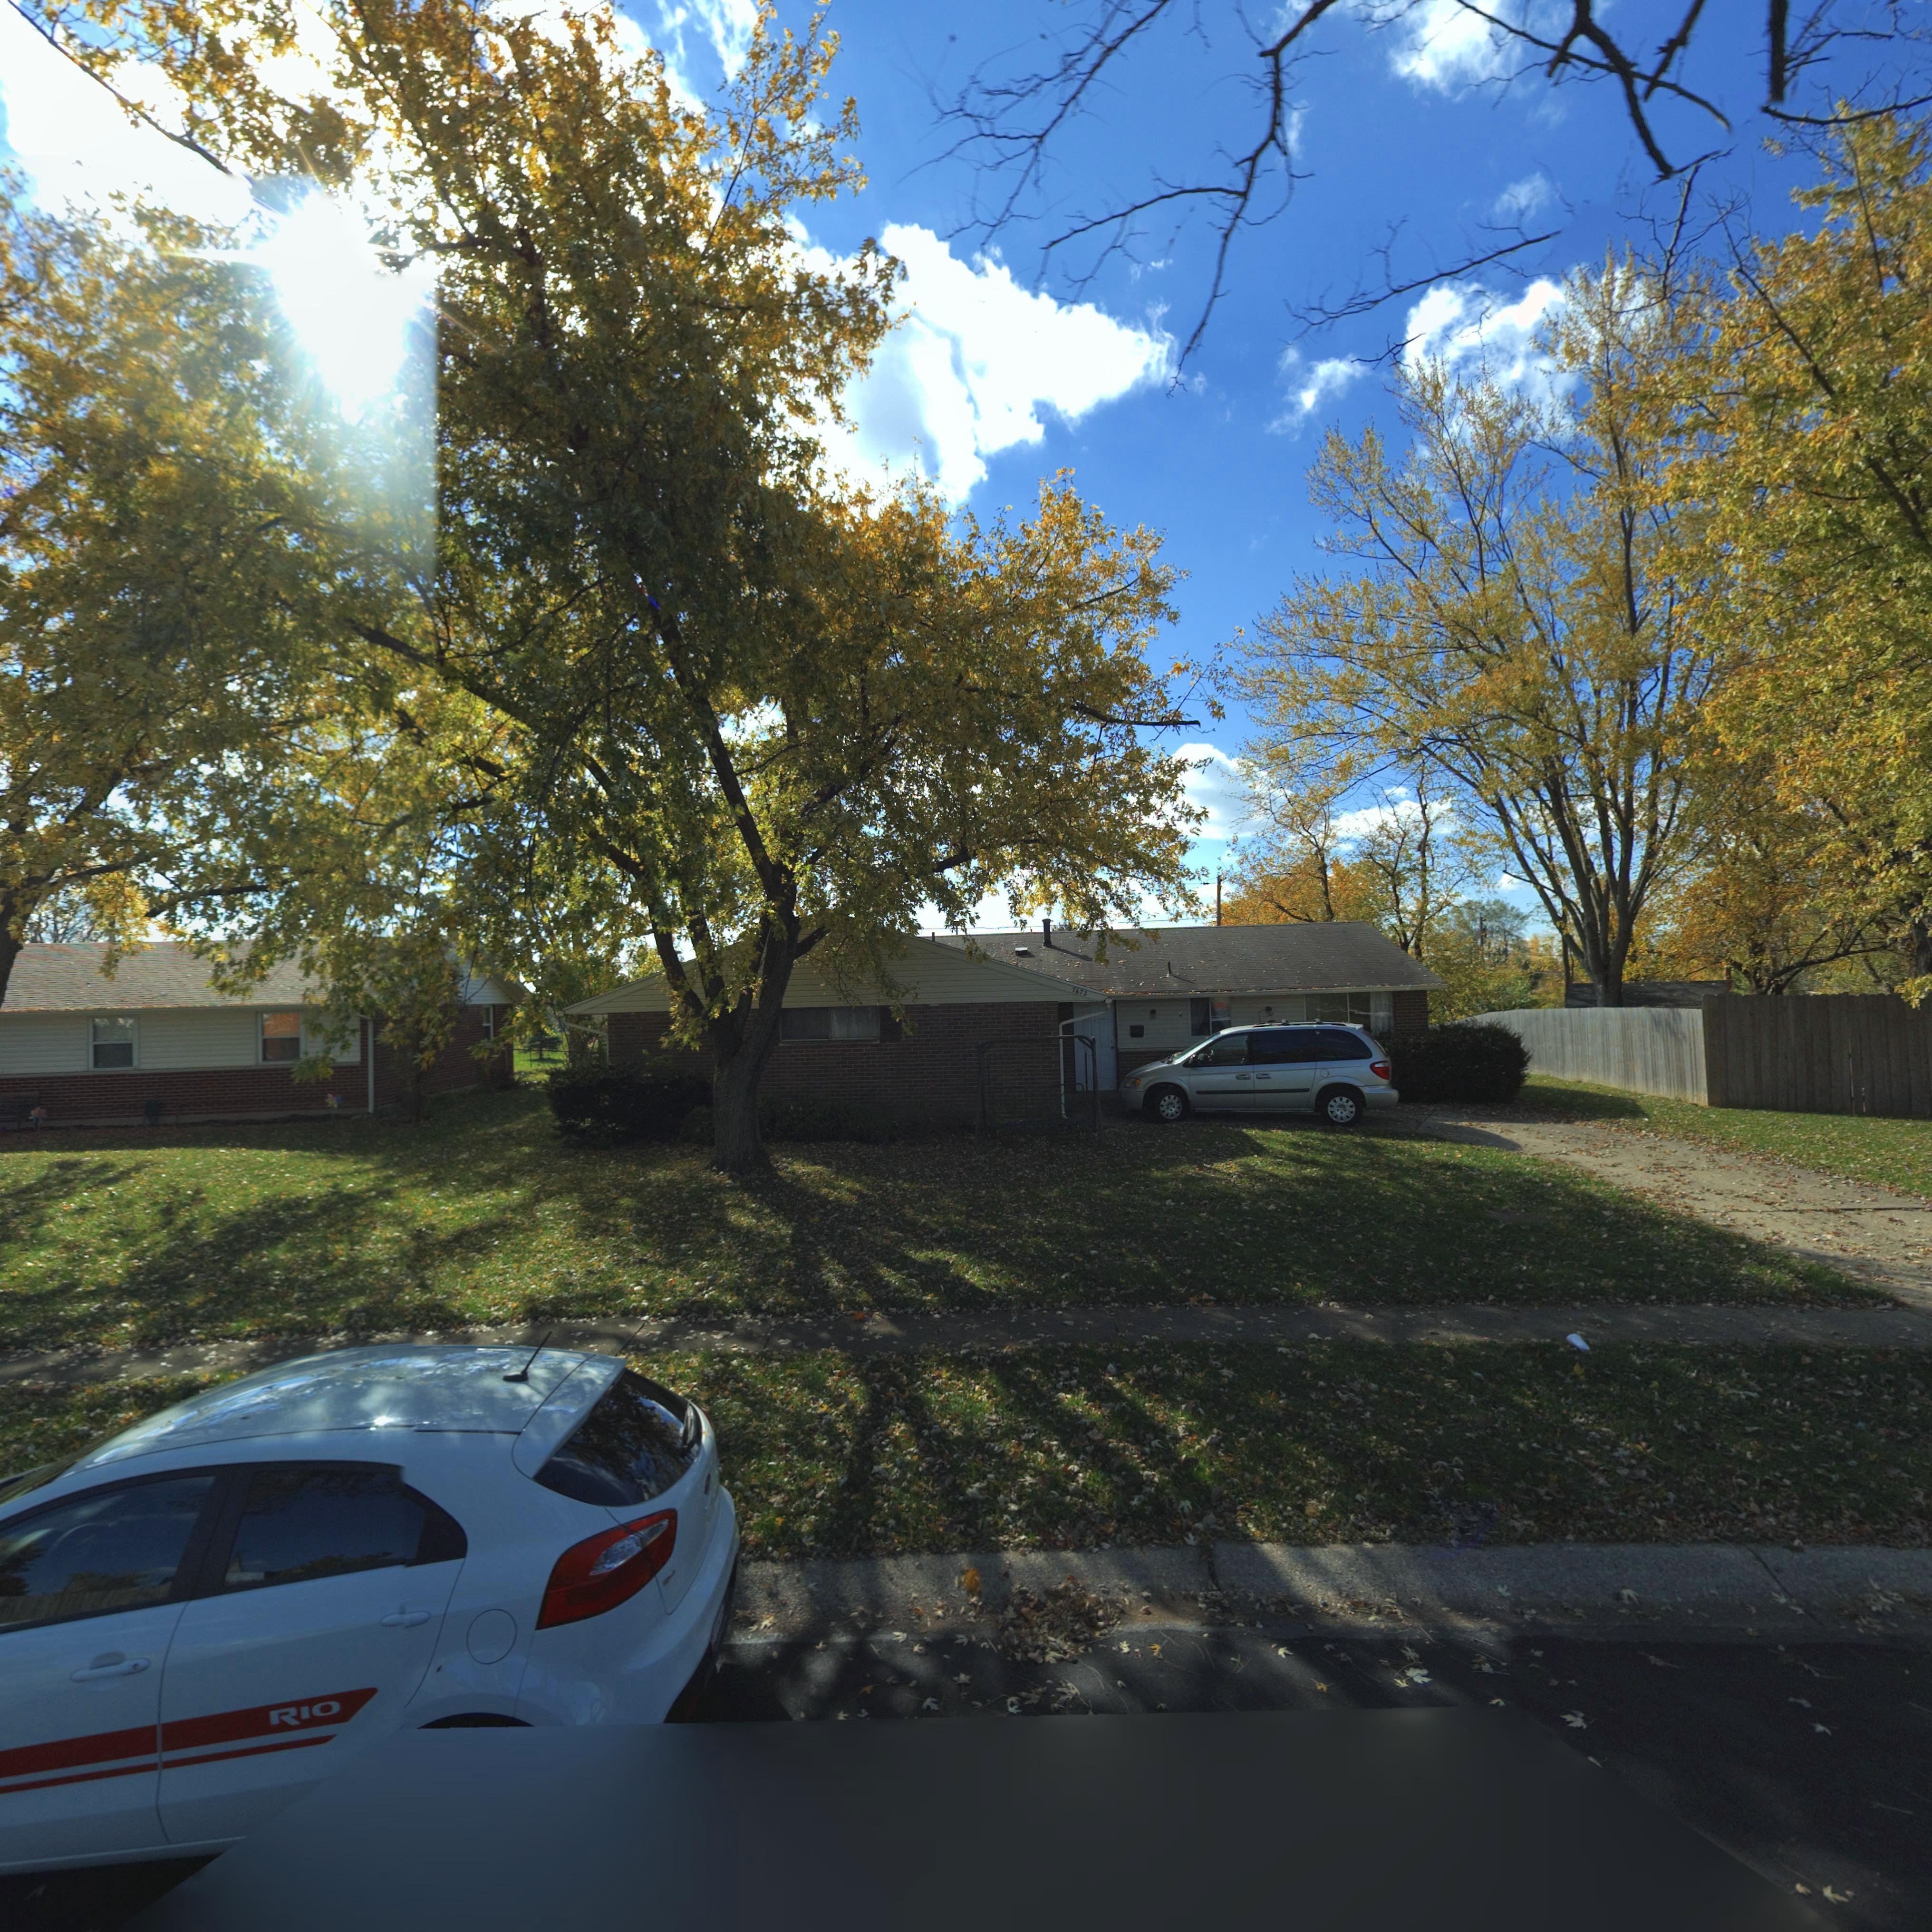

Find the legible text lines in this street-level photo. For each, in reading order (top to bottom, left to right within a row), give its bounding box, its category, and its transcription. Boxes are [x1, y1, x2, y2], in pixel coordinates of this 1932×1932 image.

[1072, 986, 1088, 997] StreetNumber: 7672